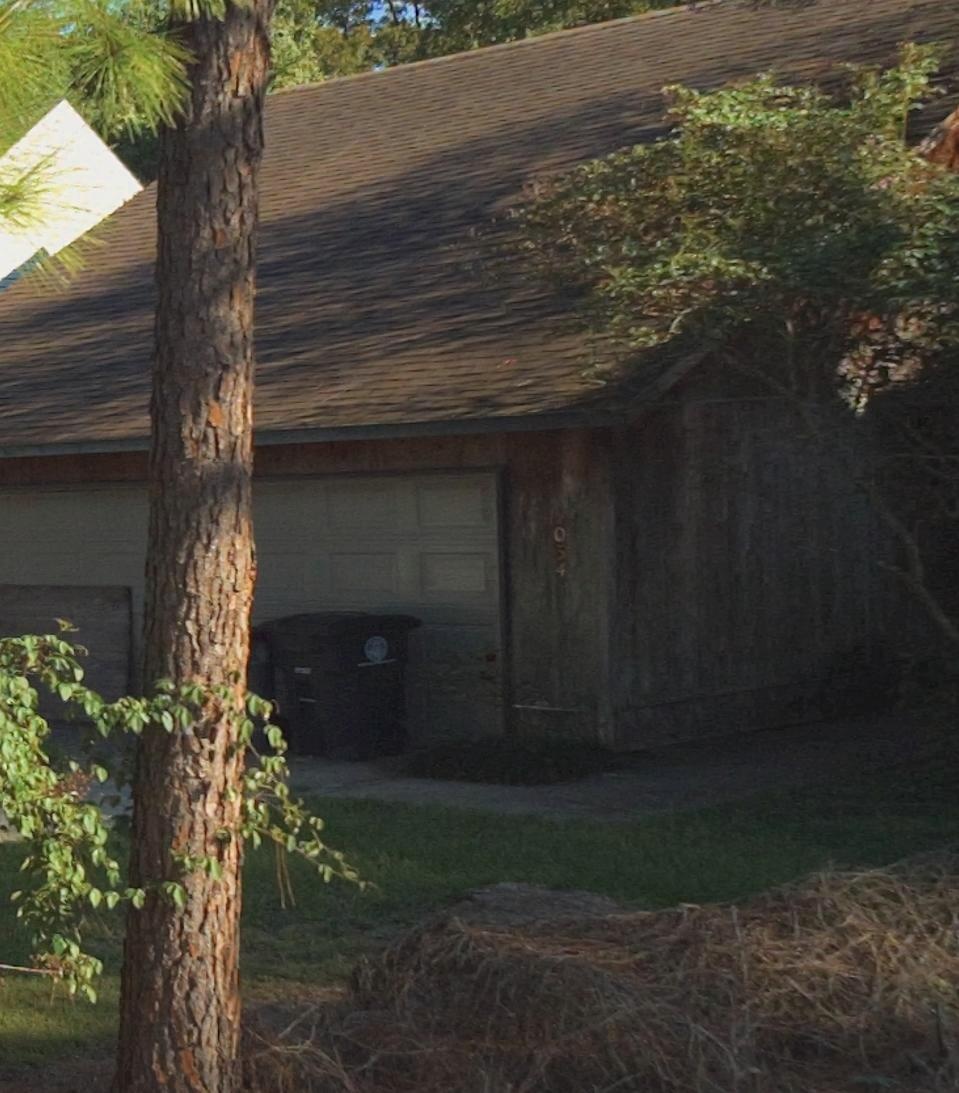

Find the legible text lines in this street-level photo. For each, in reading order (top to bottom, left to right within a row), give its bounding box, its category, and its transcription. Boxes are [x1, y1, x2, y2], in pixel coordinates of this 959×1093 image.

[552, 498, 569, 578] StreetNumber: 9054